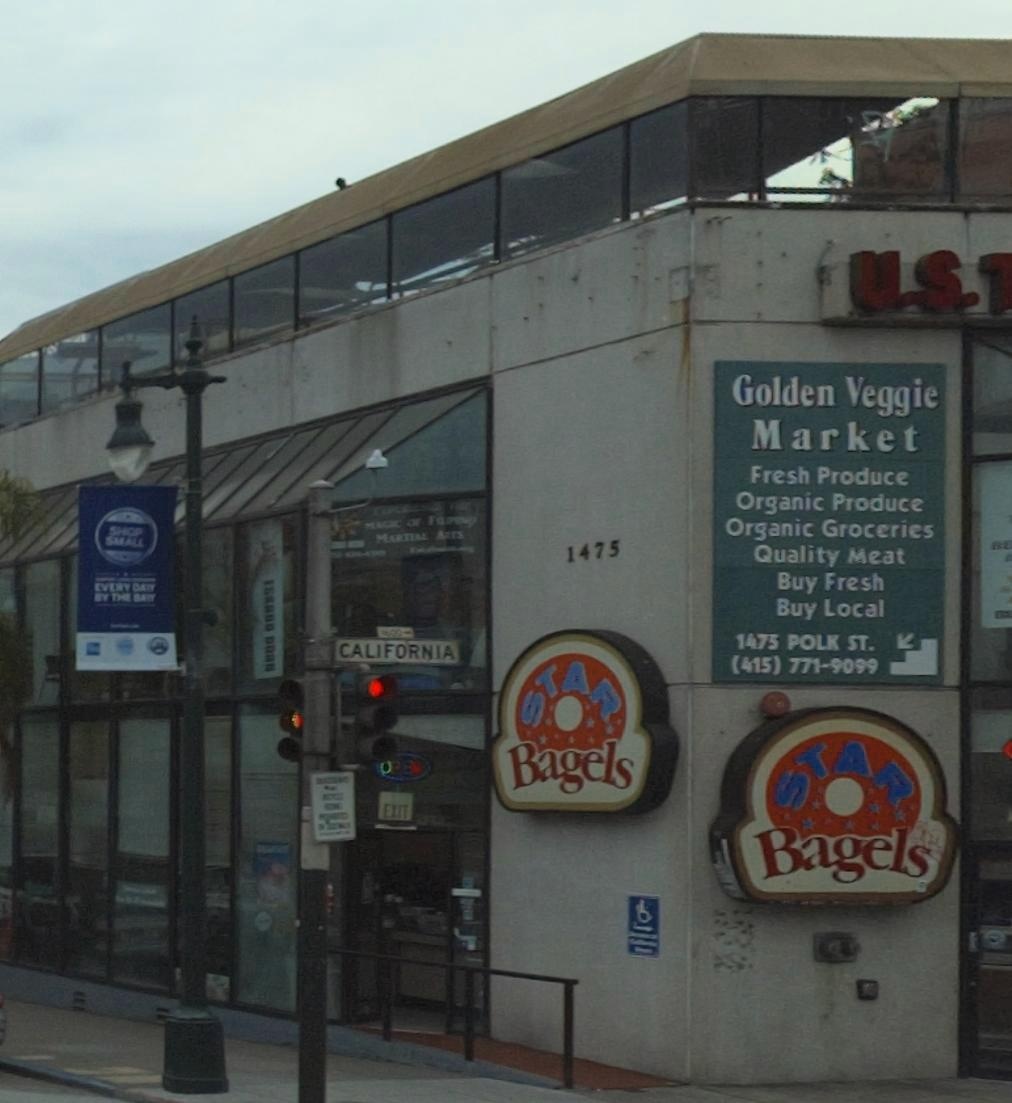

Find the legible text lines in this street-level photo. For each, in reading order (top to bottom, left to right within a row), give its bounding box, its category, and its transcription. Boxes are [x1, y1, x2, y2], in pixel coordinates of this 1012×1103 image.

[859, 249, 981, 312] BusinessName: U.S.
[730, 373, 939, 419] BusinessName: Golden Veggie
[750, 417, 920, 454] BusinessName: Market
[750, 464, 909, 487] None: Fresh Produce
[735, 490, 925, 516] None: Organic Produce
[104, 536, 145, 548] None: SMALL
[107, 525, 144, 537] None: SHOP
[375, 529, 465, 545] None: Martial Arts
[565, 536, 622, 565] StreetNumber: 1475
[725, 517, 934, 542] None: Organic Groceries
[753, 543, 906, 568] None: Quality Meat
[93, 592, 157, 603] None: BY THE BAY
[94, 582, 157, 592] None: EVERY DAY
[776, 570, 885, 596] None: Buy Fresh
[776, 596, 885, 622] None: Buy Local
[379, 628, 413, 639] StreetNumberRange: 1*00->
[337, 641, 457, 661] StreetName: CALIFORNIA
[735, 633, 779, 651] None: 1475
[787, 633, 875, 652] None: POLK ST.
[730, 654, 879, 676] None: (415) 771-9099
[521, 661, 622, 727] BusinessName: STAR
[505, 740, 635, 795] BusinessName: Bagels
[770, 739, 918, 813] BusinessName: STAR
[382, 802, 410, 820] None: EXIT
[750, 825, 933, 885] BusinessName: Bagels